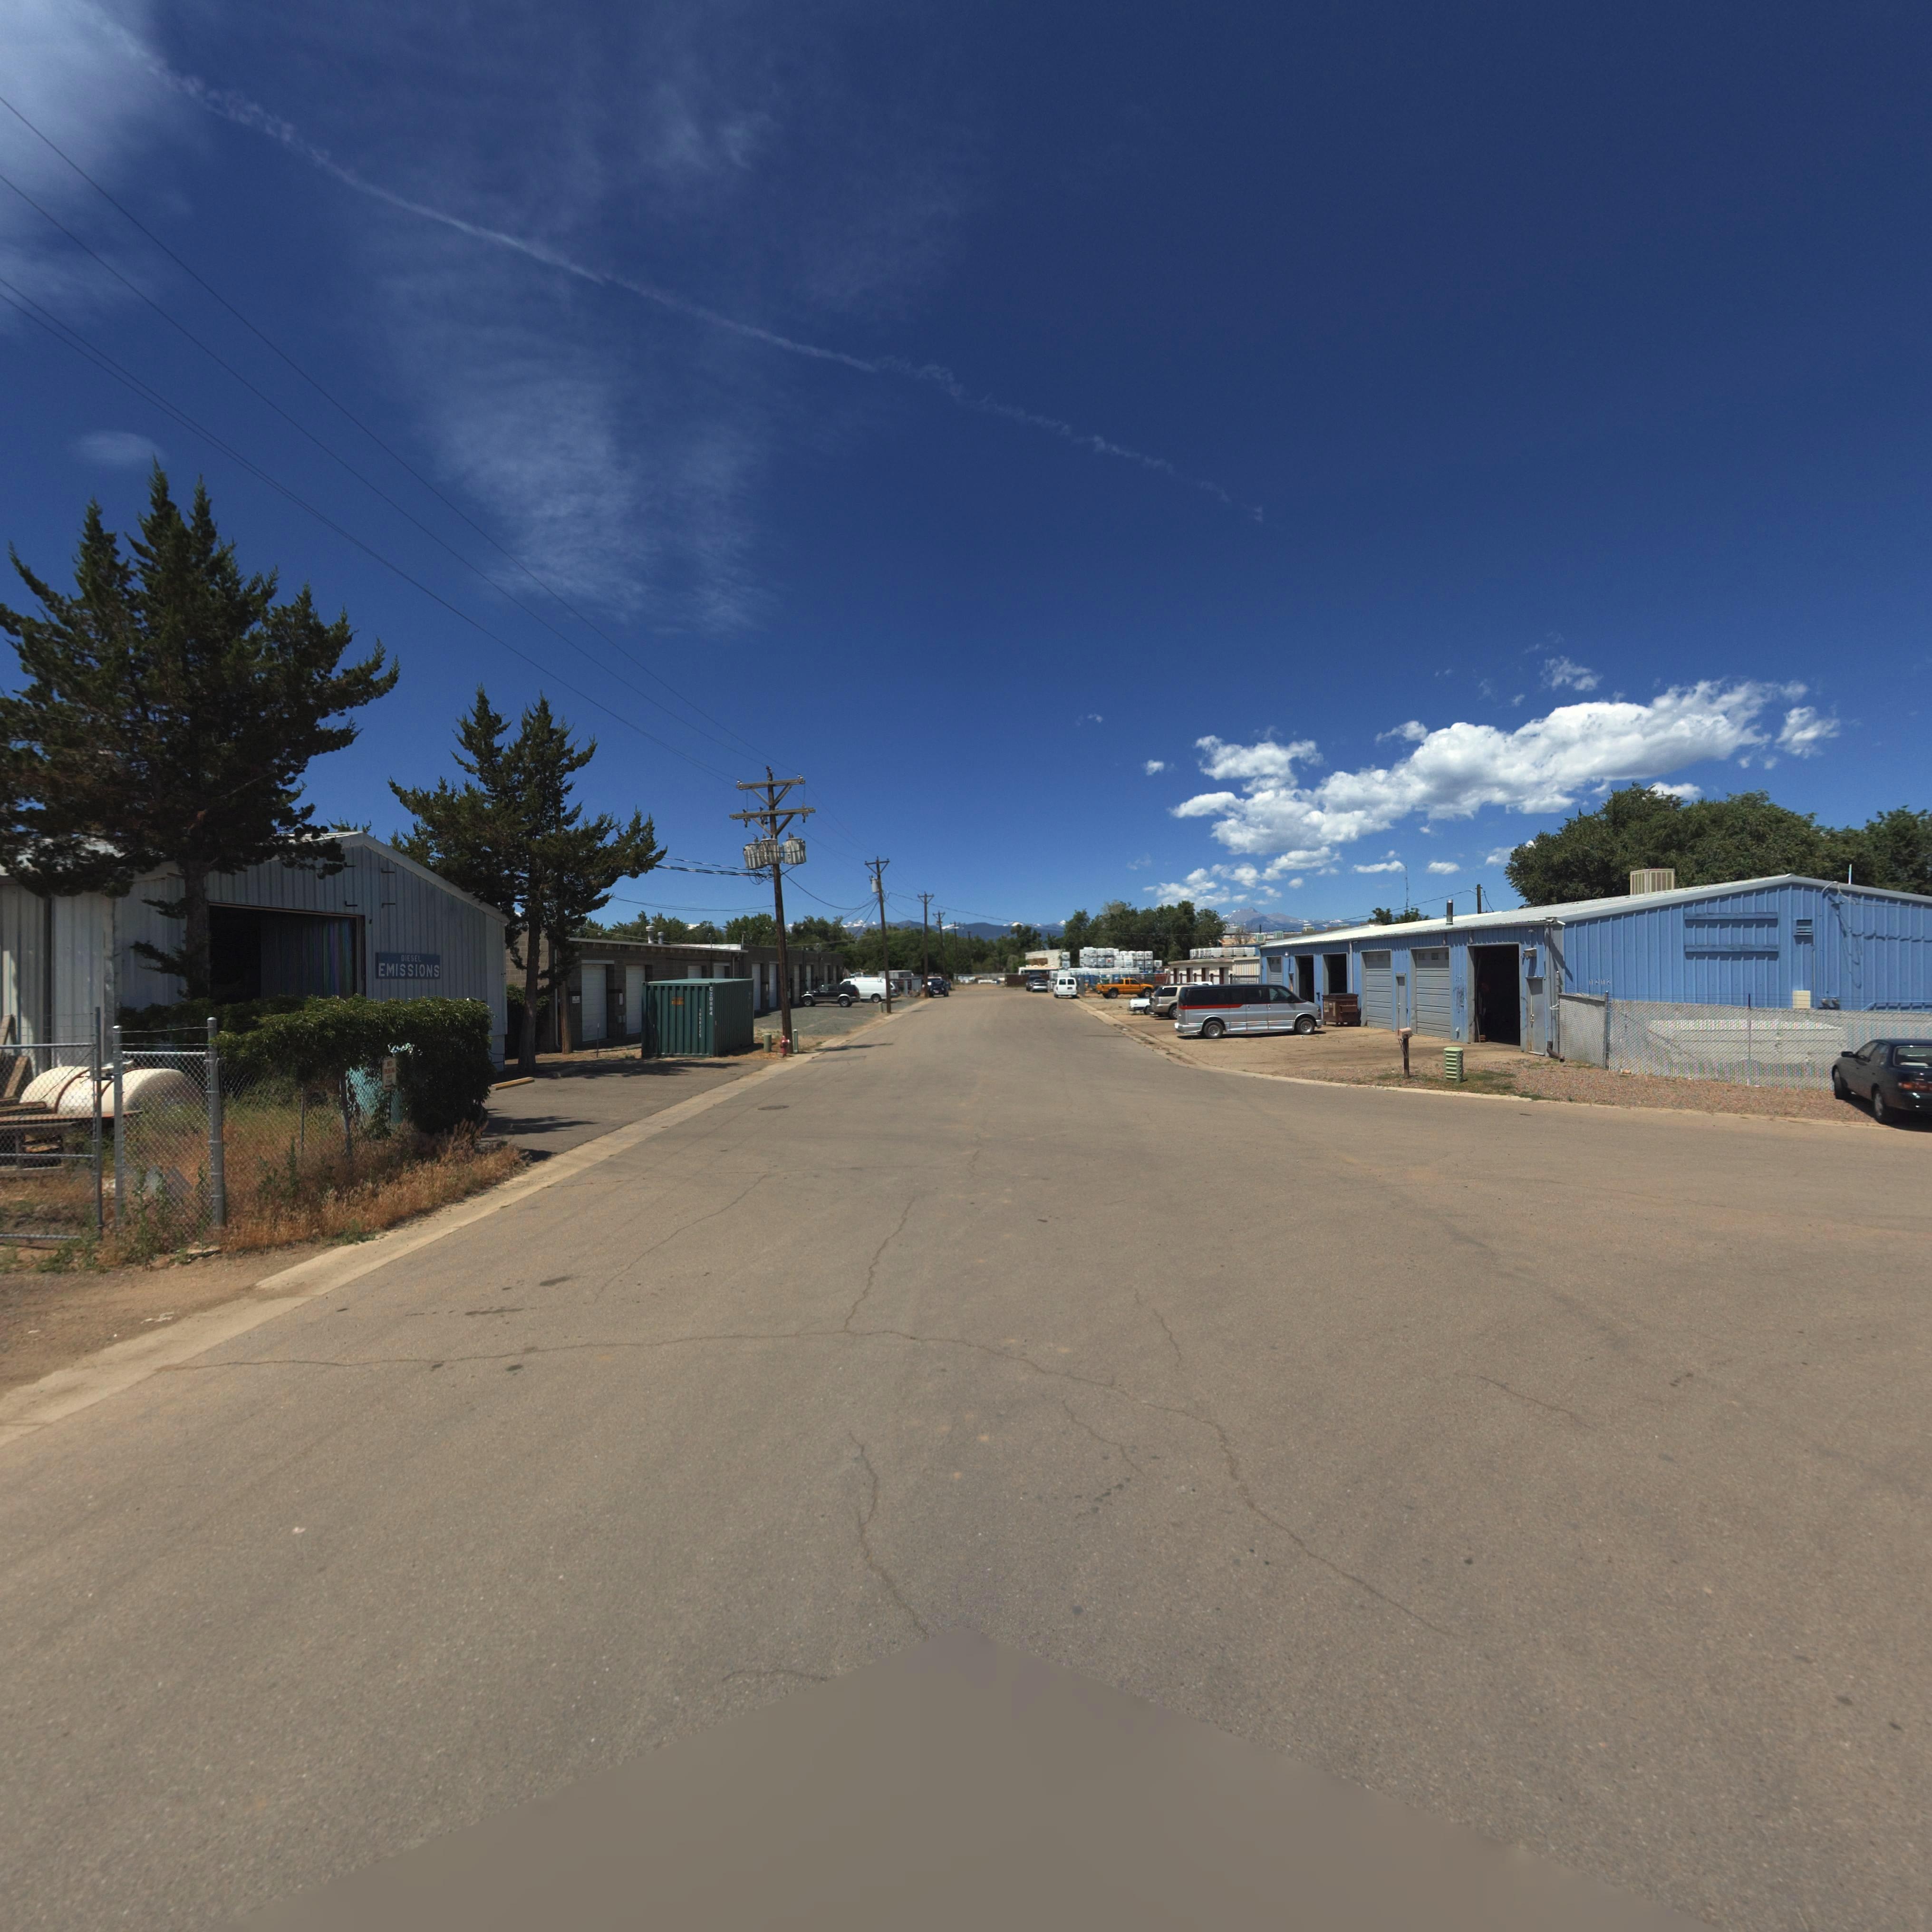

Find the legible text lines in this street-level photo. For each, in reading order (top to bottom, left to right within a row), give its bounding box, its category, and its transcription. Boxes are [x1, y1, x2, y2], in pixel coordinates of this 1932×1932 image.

[400, 954, 421, 962] BusinessName: DIESEL
[378, 962, 439, 977] BusinessName: EMISSIONS
[1589, 978, 1611, 985] StreetNumber: 1212